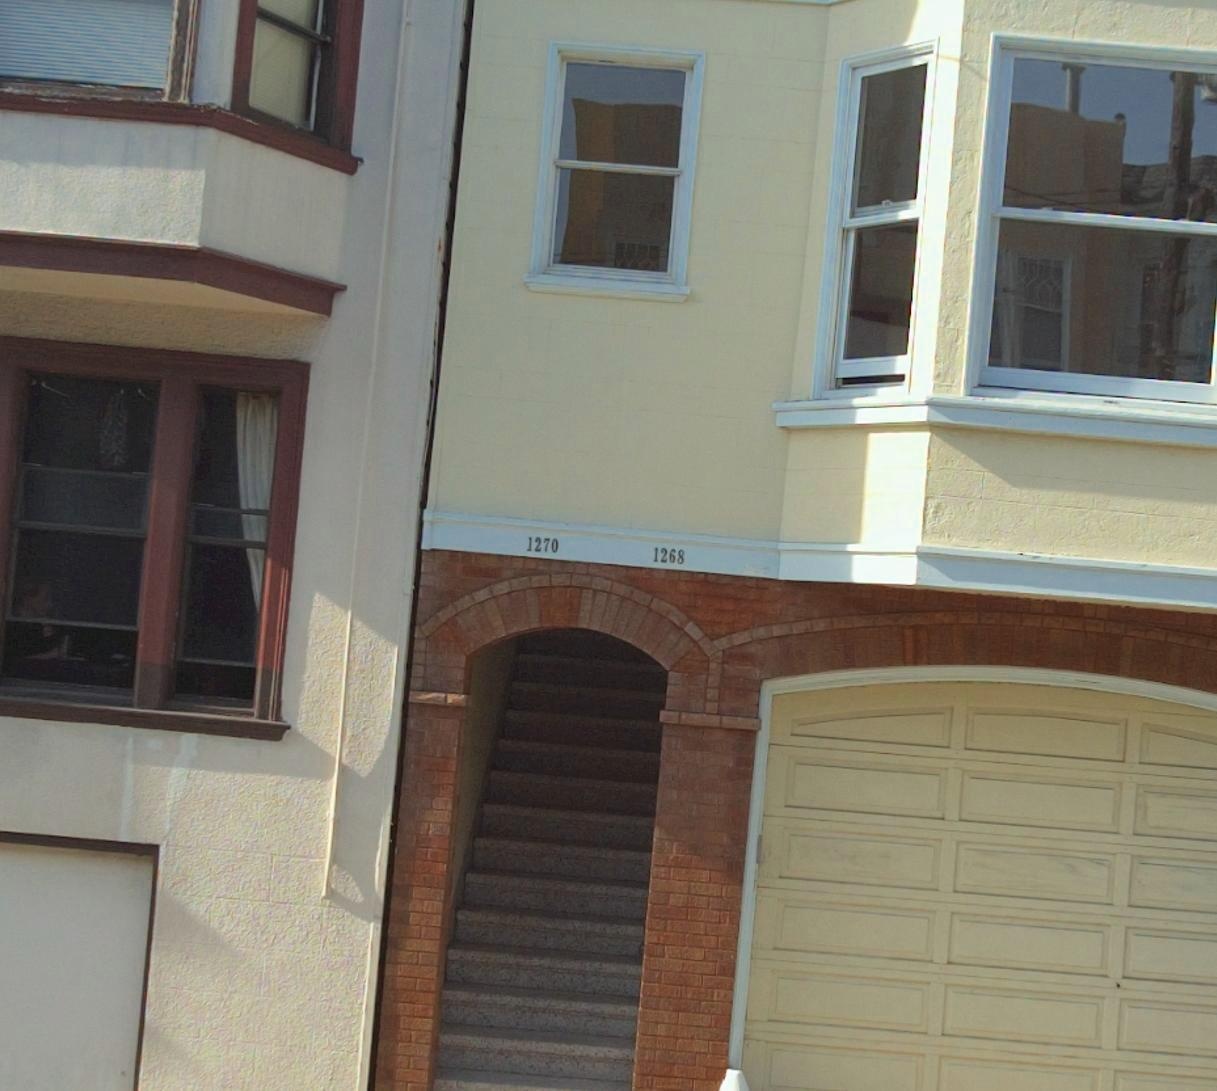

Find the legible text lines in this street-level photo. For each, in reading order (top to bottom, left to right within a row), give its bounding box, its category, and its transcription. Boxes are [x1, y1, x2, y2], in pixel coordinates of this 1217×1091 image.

[524, 534, 560, 554] StreetNumber: 1270
[651, 544, 685, 566] StreetNumber: 1268